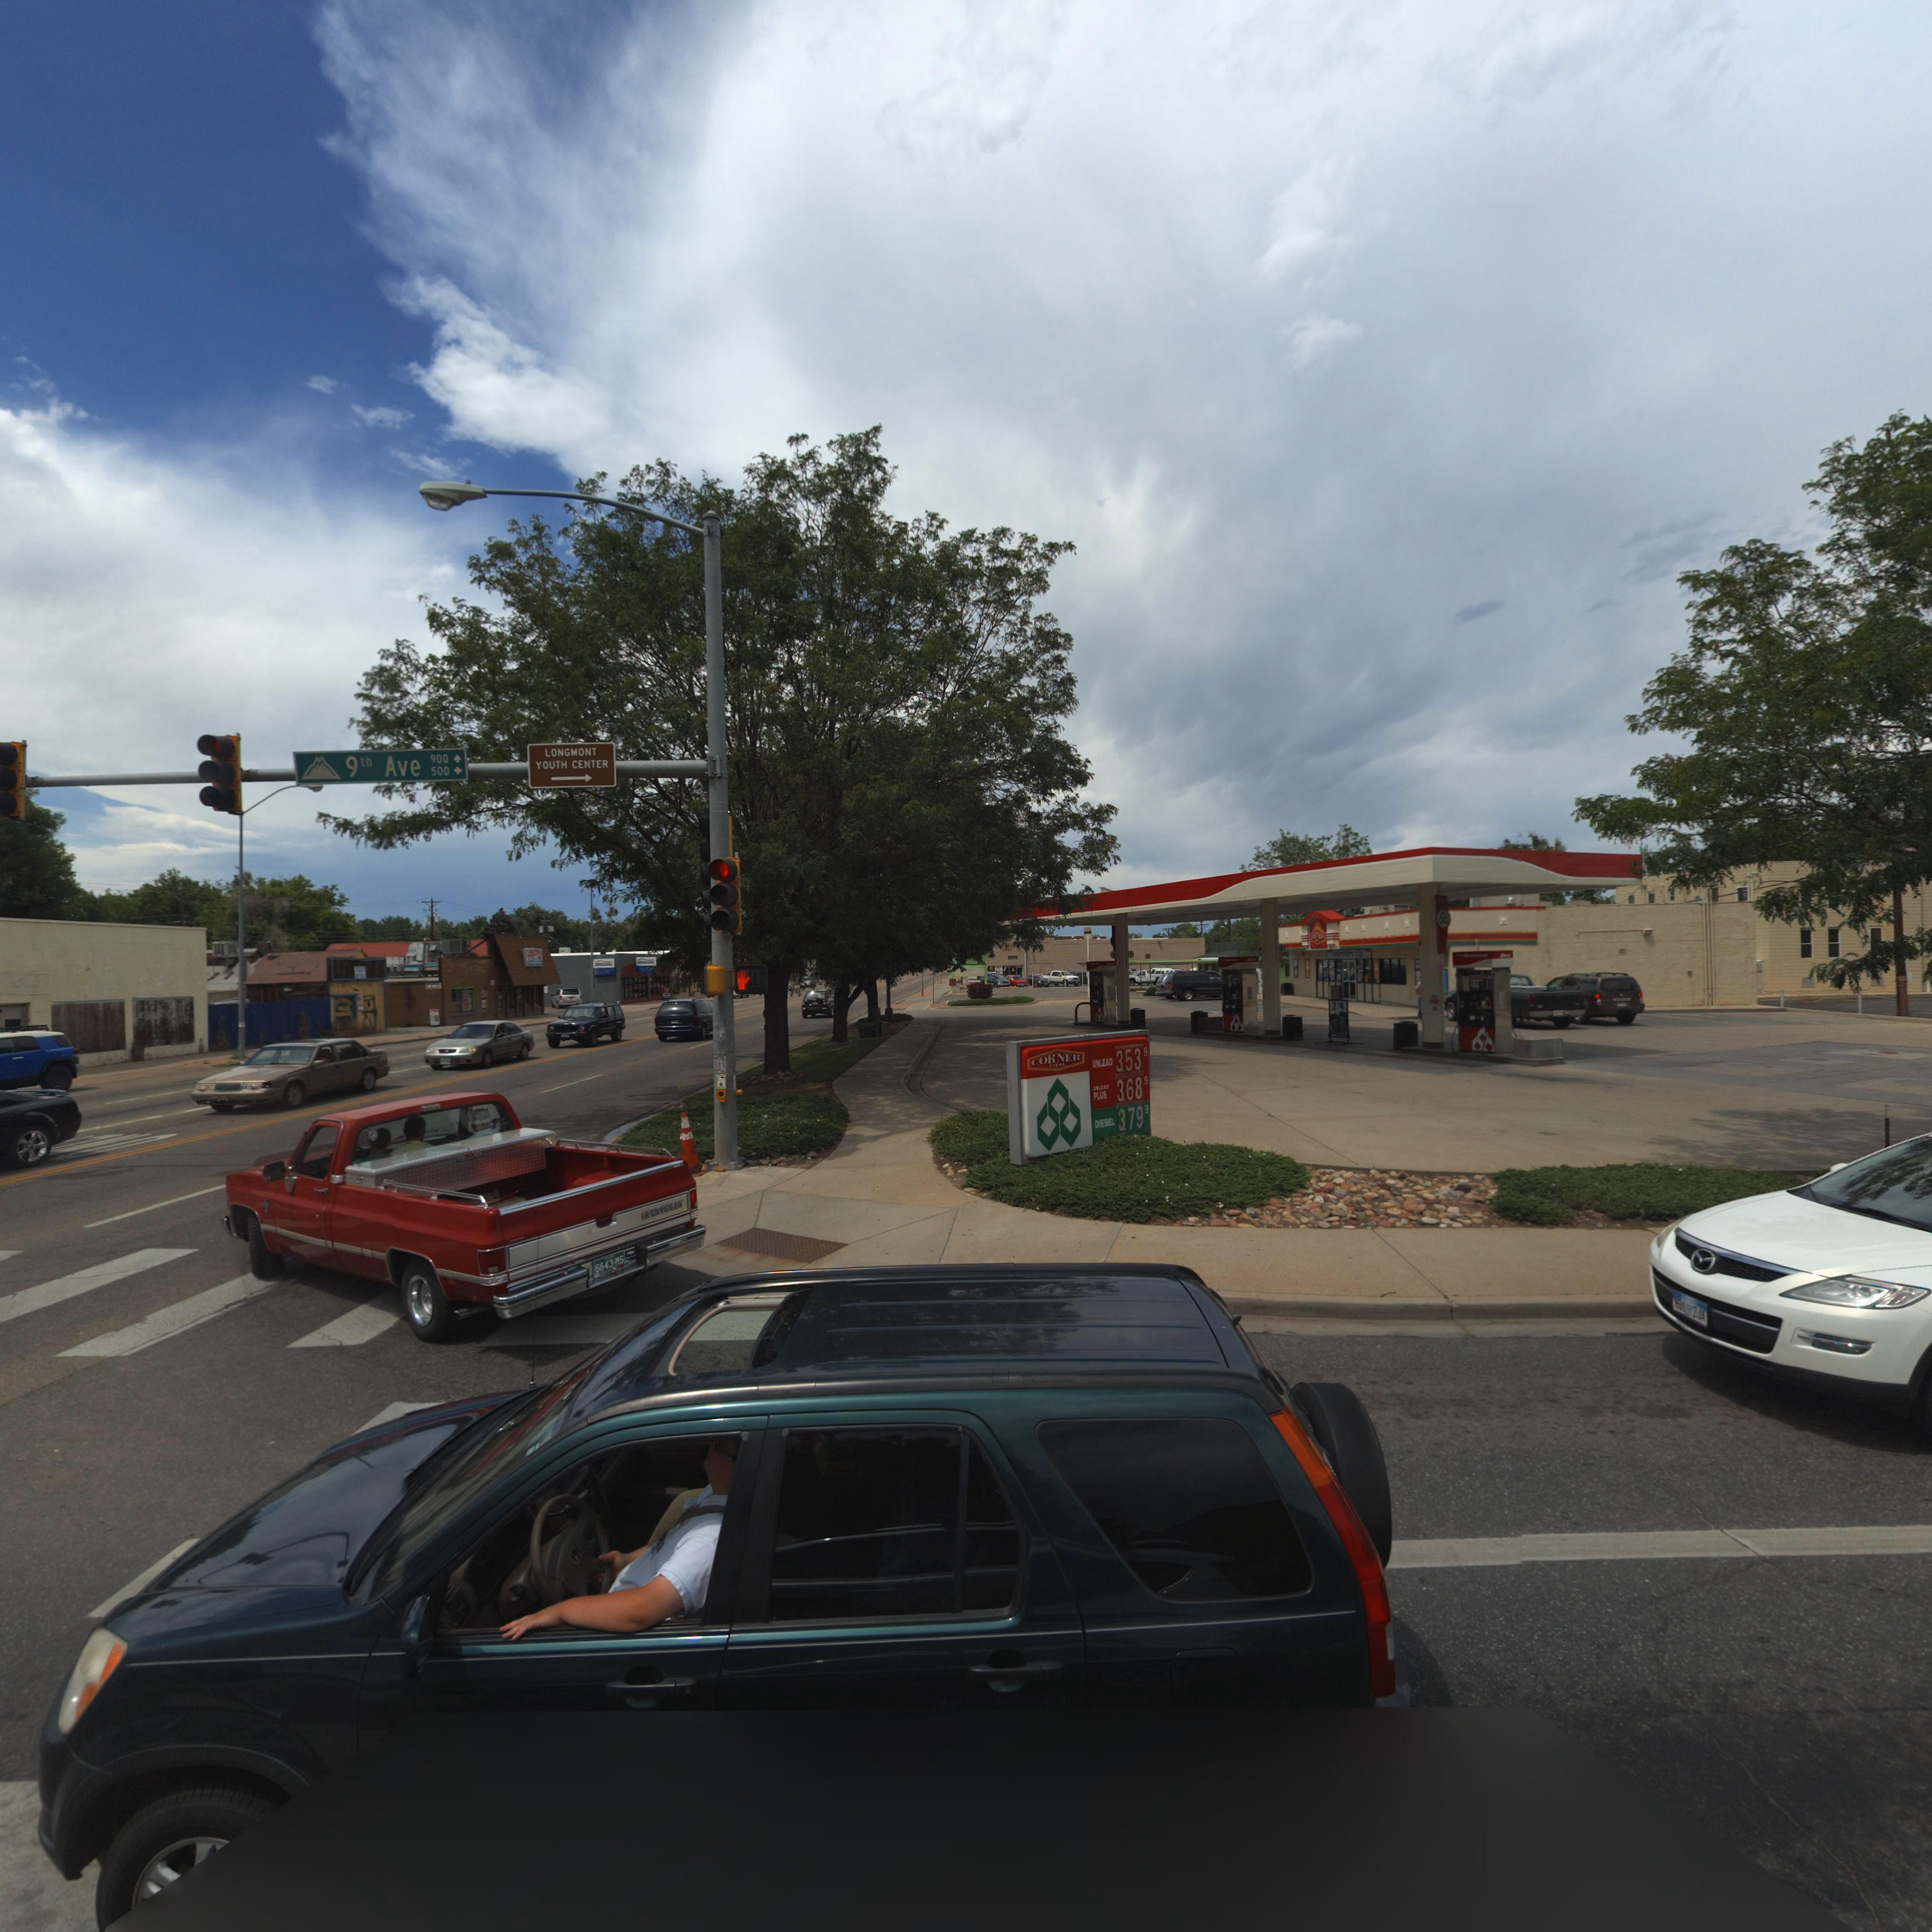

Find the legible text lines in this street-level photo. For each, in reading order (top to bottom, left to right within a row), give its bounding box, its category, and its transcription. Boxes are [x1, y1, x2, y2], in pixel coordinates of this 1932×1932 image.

[429, 753, 449, 764] StreetNumberRange: 900
[345, 755, 421, 778] StreetName: 9th Ave
[431, 765, 463, 776] StreetNumberRange: 500->
[1312, 931, 1324, 939] BusinessName: ***NER
[1031, 1052, 1081, 1066] BusinessName: CORNER
[1048, 1062, 1064, 1067] BusinessName: STORE